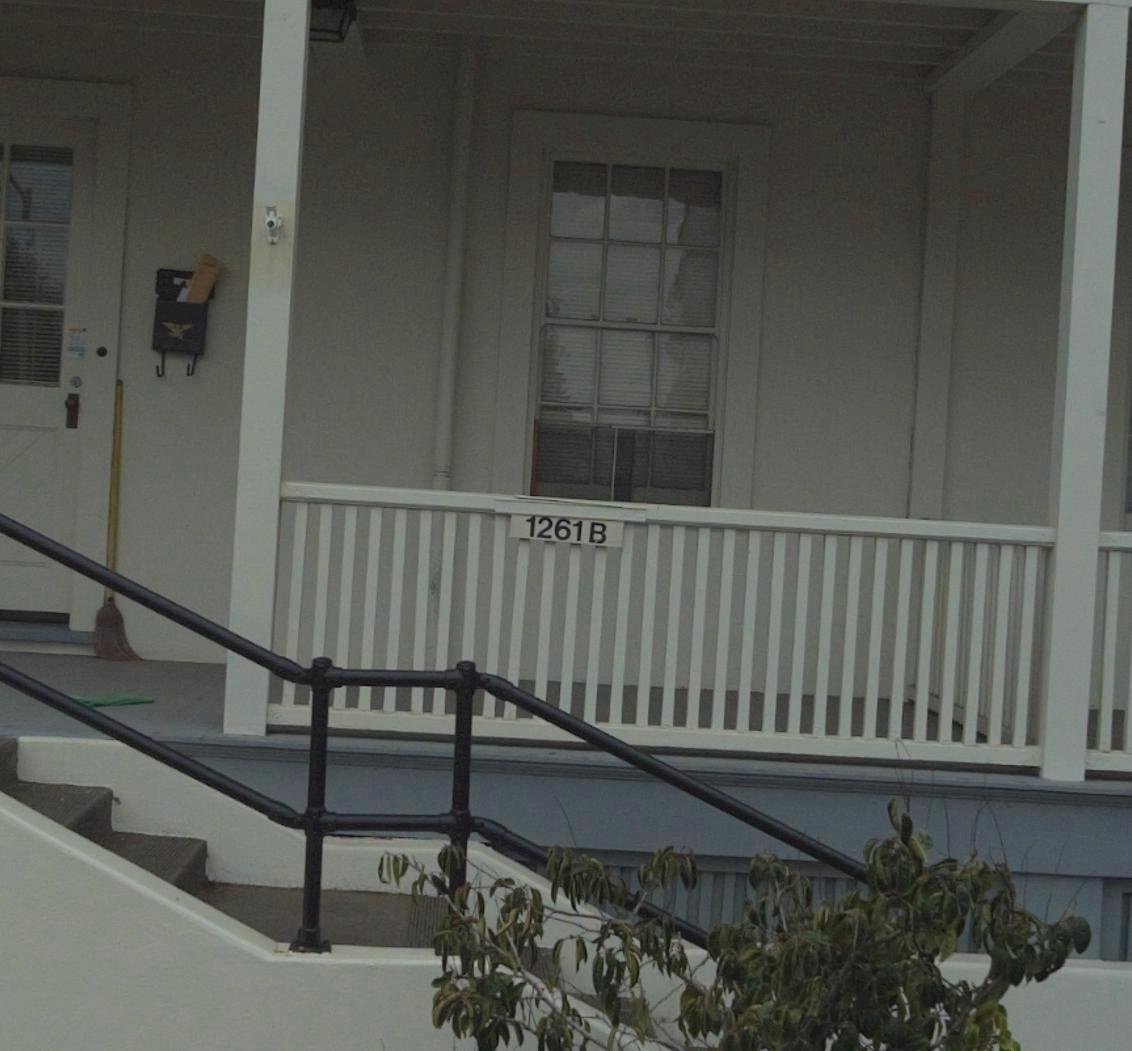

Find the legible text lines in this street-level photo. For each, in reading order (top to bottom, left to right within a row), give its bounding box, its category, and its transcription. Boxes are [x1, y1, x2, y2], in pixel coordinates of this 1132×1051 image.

[525, 514, 611, 546] StreetNumber: 1261 B